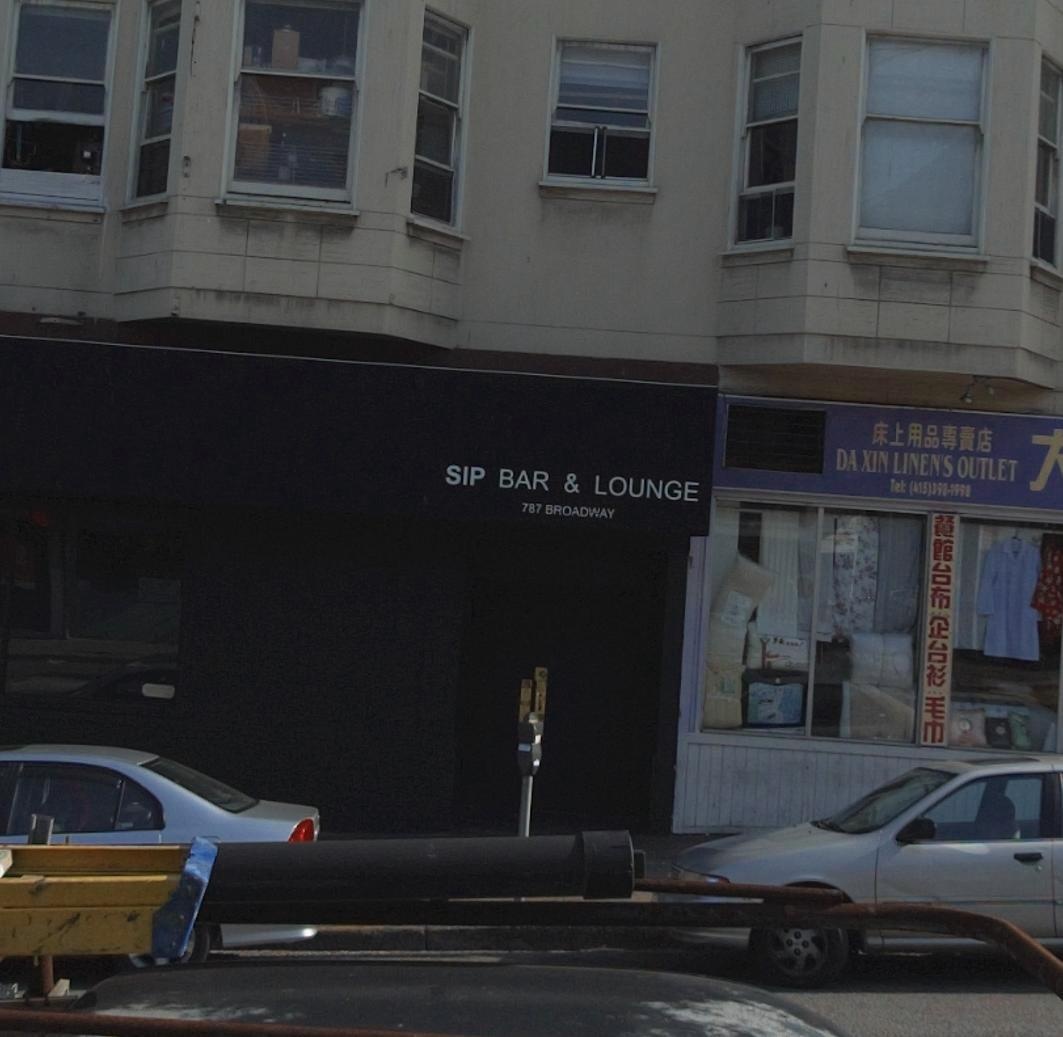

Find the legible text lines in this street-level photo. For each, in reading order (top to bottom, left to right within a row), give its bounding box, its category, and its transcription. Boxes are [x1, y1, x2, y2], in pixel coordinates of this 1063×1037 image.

[835, 445, 1020, 484] BusinessName: DA XIN LINEN'S OUTLET
[445, 463, 700, 503] BusinessName: SIP BAR & LOUNGE
[889, 476, 972, 500] None: Tel: (415)398-5998
[520, 500, 543, 515] StreetNumber: 787
[544, 502, 617, 520] StreetName: BROADWAY